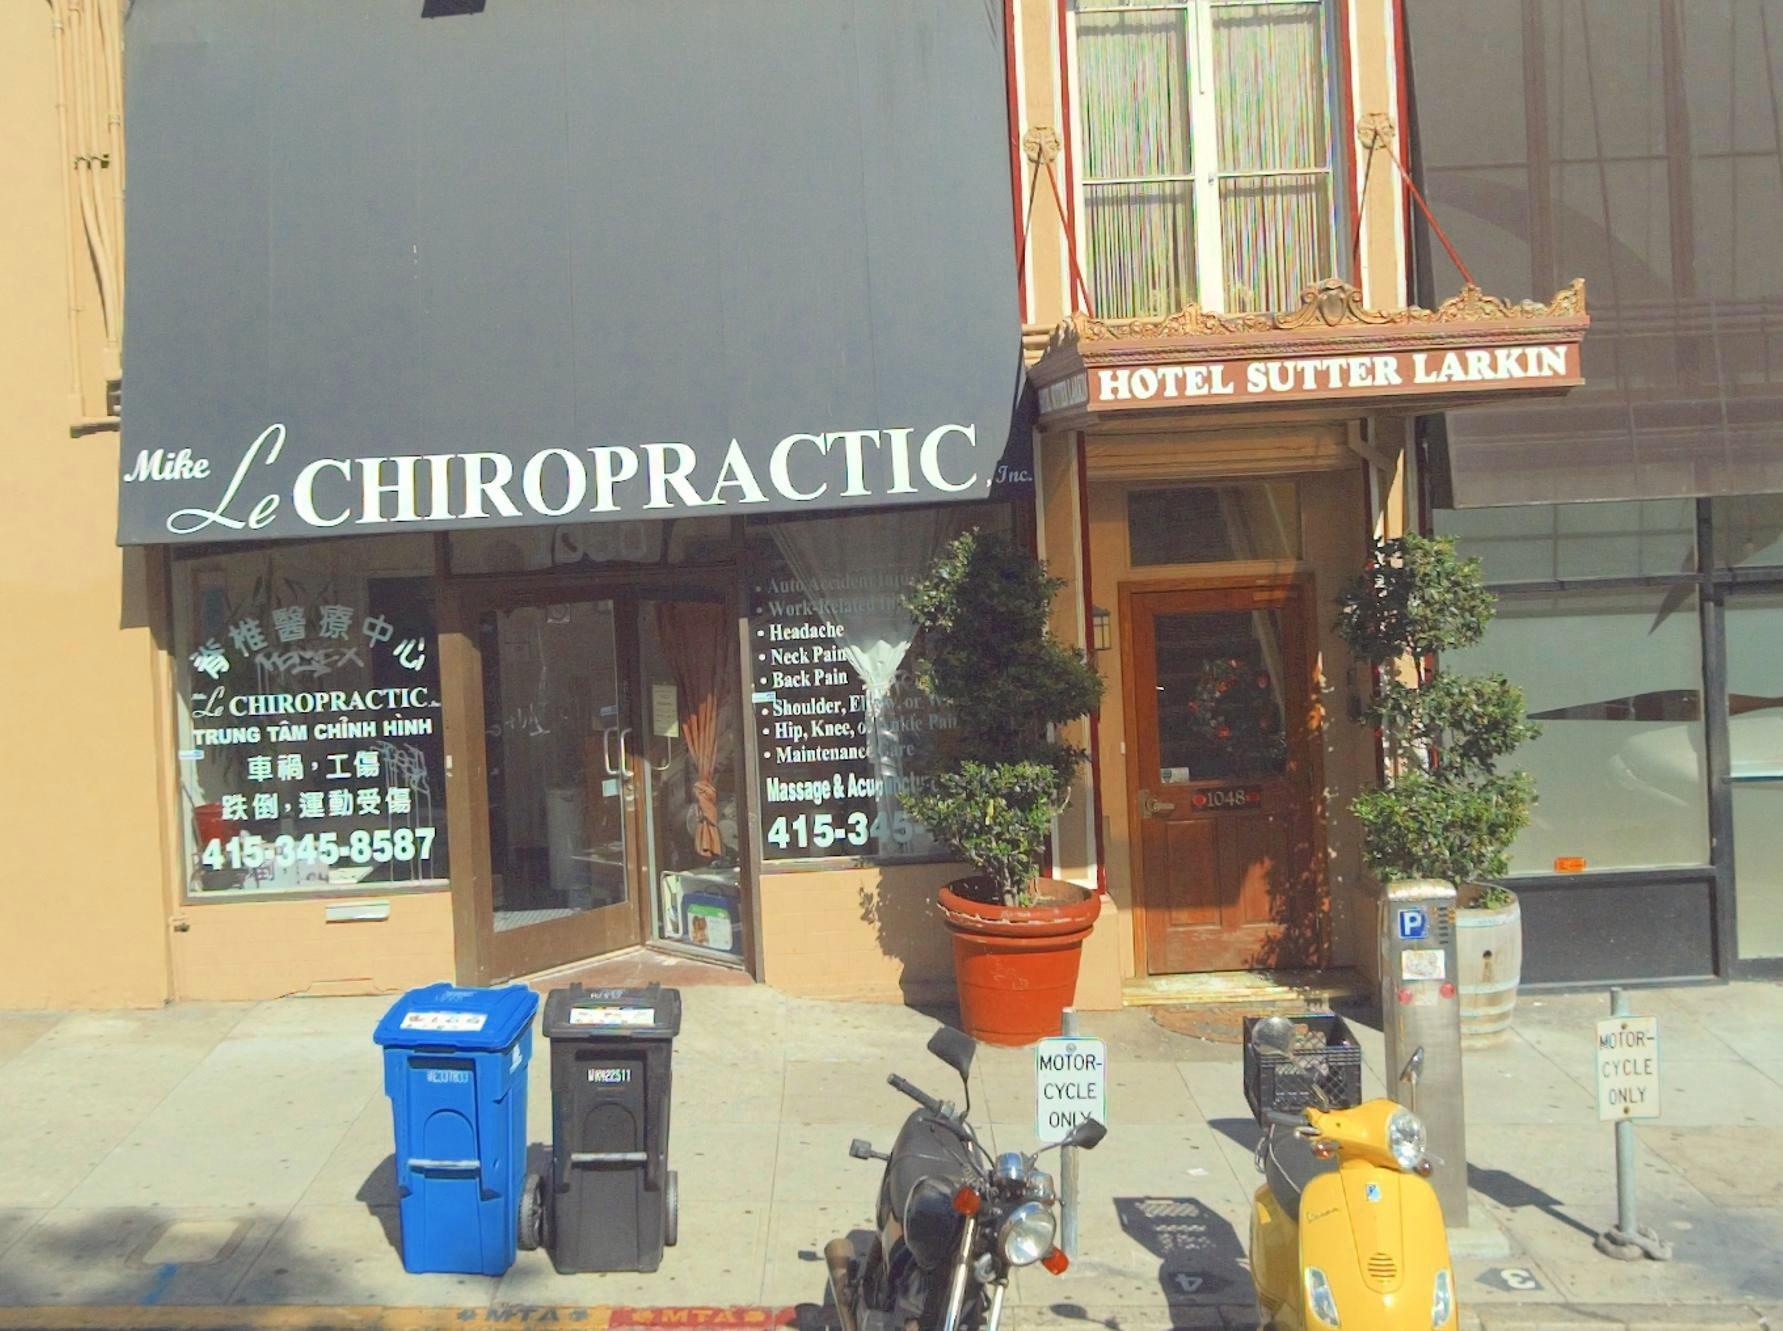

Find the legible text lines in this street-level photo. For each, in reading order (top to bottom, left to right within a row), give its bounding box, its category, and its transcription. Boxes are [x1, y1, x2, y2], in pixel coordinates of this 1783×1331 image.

[1096, 344, 1569, 403] BusinessName: HOTEL SUTTER LARKIN
[122, 420, 1034, 539] BusinessName: Mike Le CHIROPRACTIC,Inc.
[537, 520, 650, 570] StreetNumber: 1050
[765, 569, 911, 595] None: Auto Acciden* Inju
[765, 595, 897, 619] None: Work-Related In
[767, 620, 846, 643] None: Headache
[252, 639, 366, 673] None: PE**X
[769, 643, 848, 667] None: Neck Pain
[771, 666, 850, 690] None: Back Pain
[188, 684, 430, 721] BusinessName: Le CHIROPRACTIC
[771, 693, 923, 719] None: Shoulder,El**w,or
[190, 716, 434, 747] None: TRUNG TAM CHINH HINH
[772, 712, 952, 745] None: Hip,Knee,o***nkle Pai
[774, 743, 916, 765] None: Maintenac**Care
[764, 769, 917, 807] None: Massage & Acupunct
[1206, 788, 1247, 809] StreetNumber: 1048
[766, 809, 916, 851] None: 415-345
[200, 825, 438, 872] None: 415-345-8587
[1402, 910, 1423, 935] None: P
[1598, 1029, 1647, 1052] None: MOTOR
[437, 1069, 470, 1085] None: *3*833
[603, 1067, 632, 1084] None: 22511
[1038, 1052, 1098, 1072] None: MOTOR
[1600, 1056, 1654, 1080] None: CYCLE
[1042, 1081, 1098, 1102] None: CYCLE
[1607, 1084, 1648, 1107] None: ONLY
[1047, 1109, 1094, 1130] None: ON**
[480, 1306, 562, 1324] None: MTA
[660, 1308, 741, 1325] None: MTA